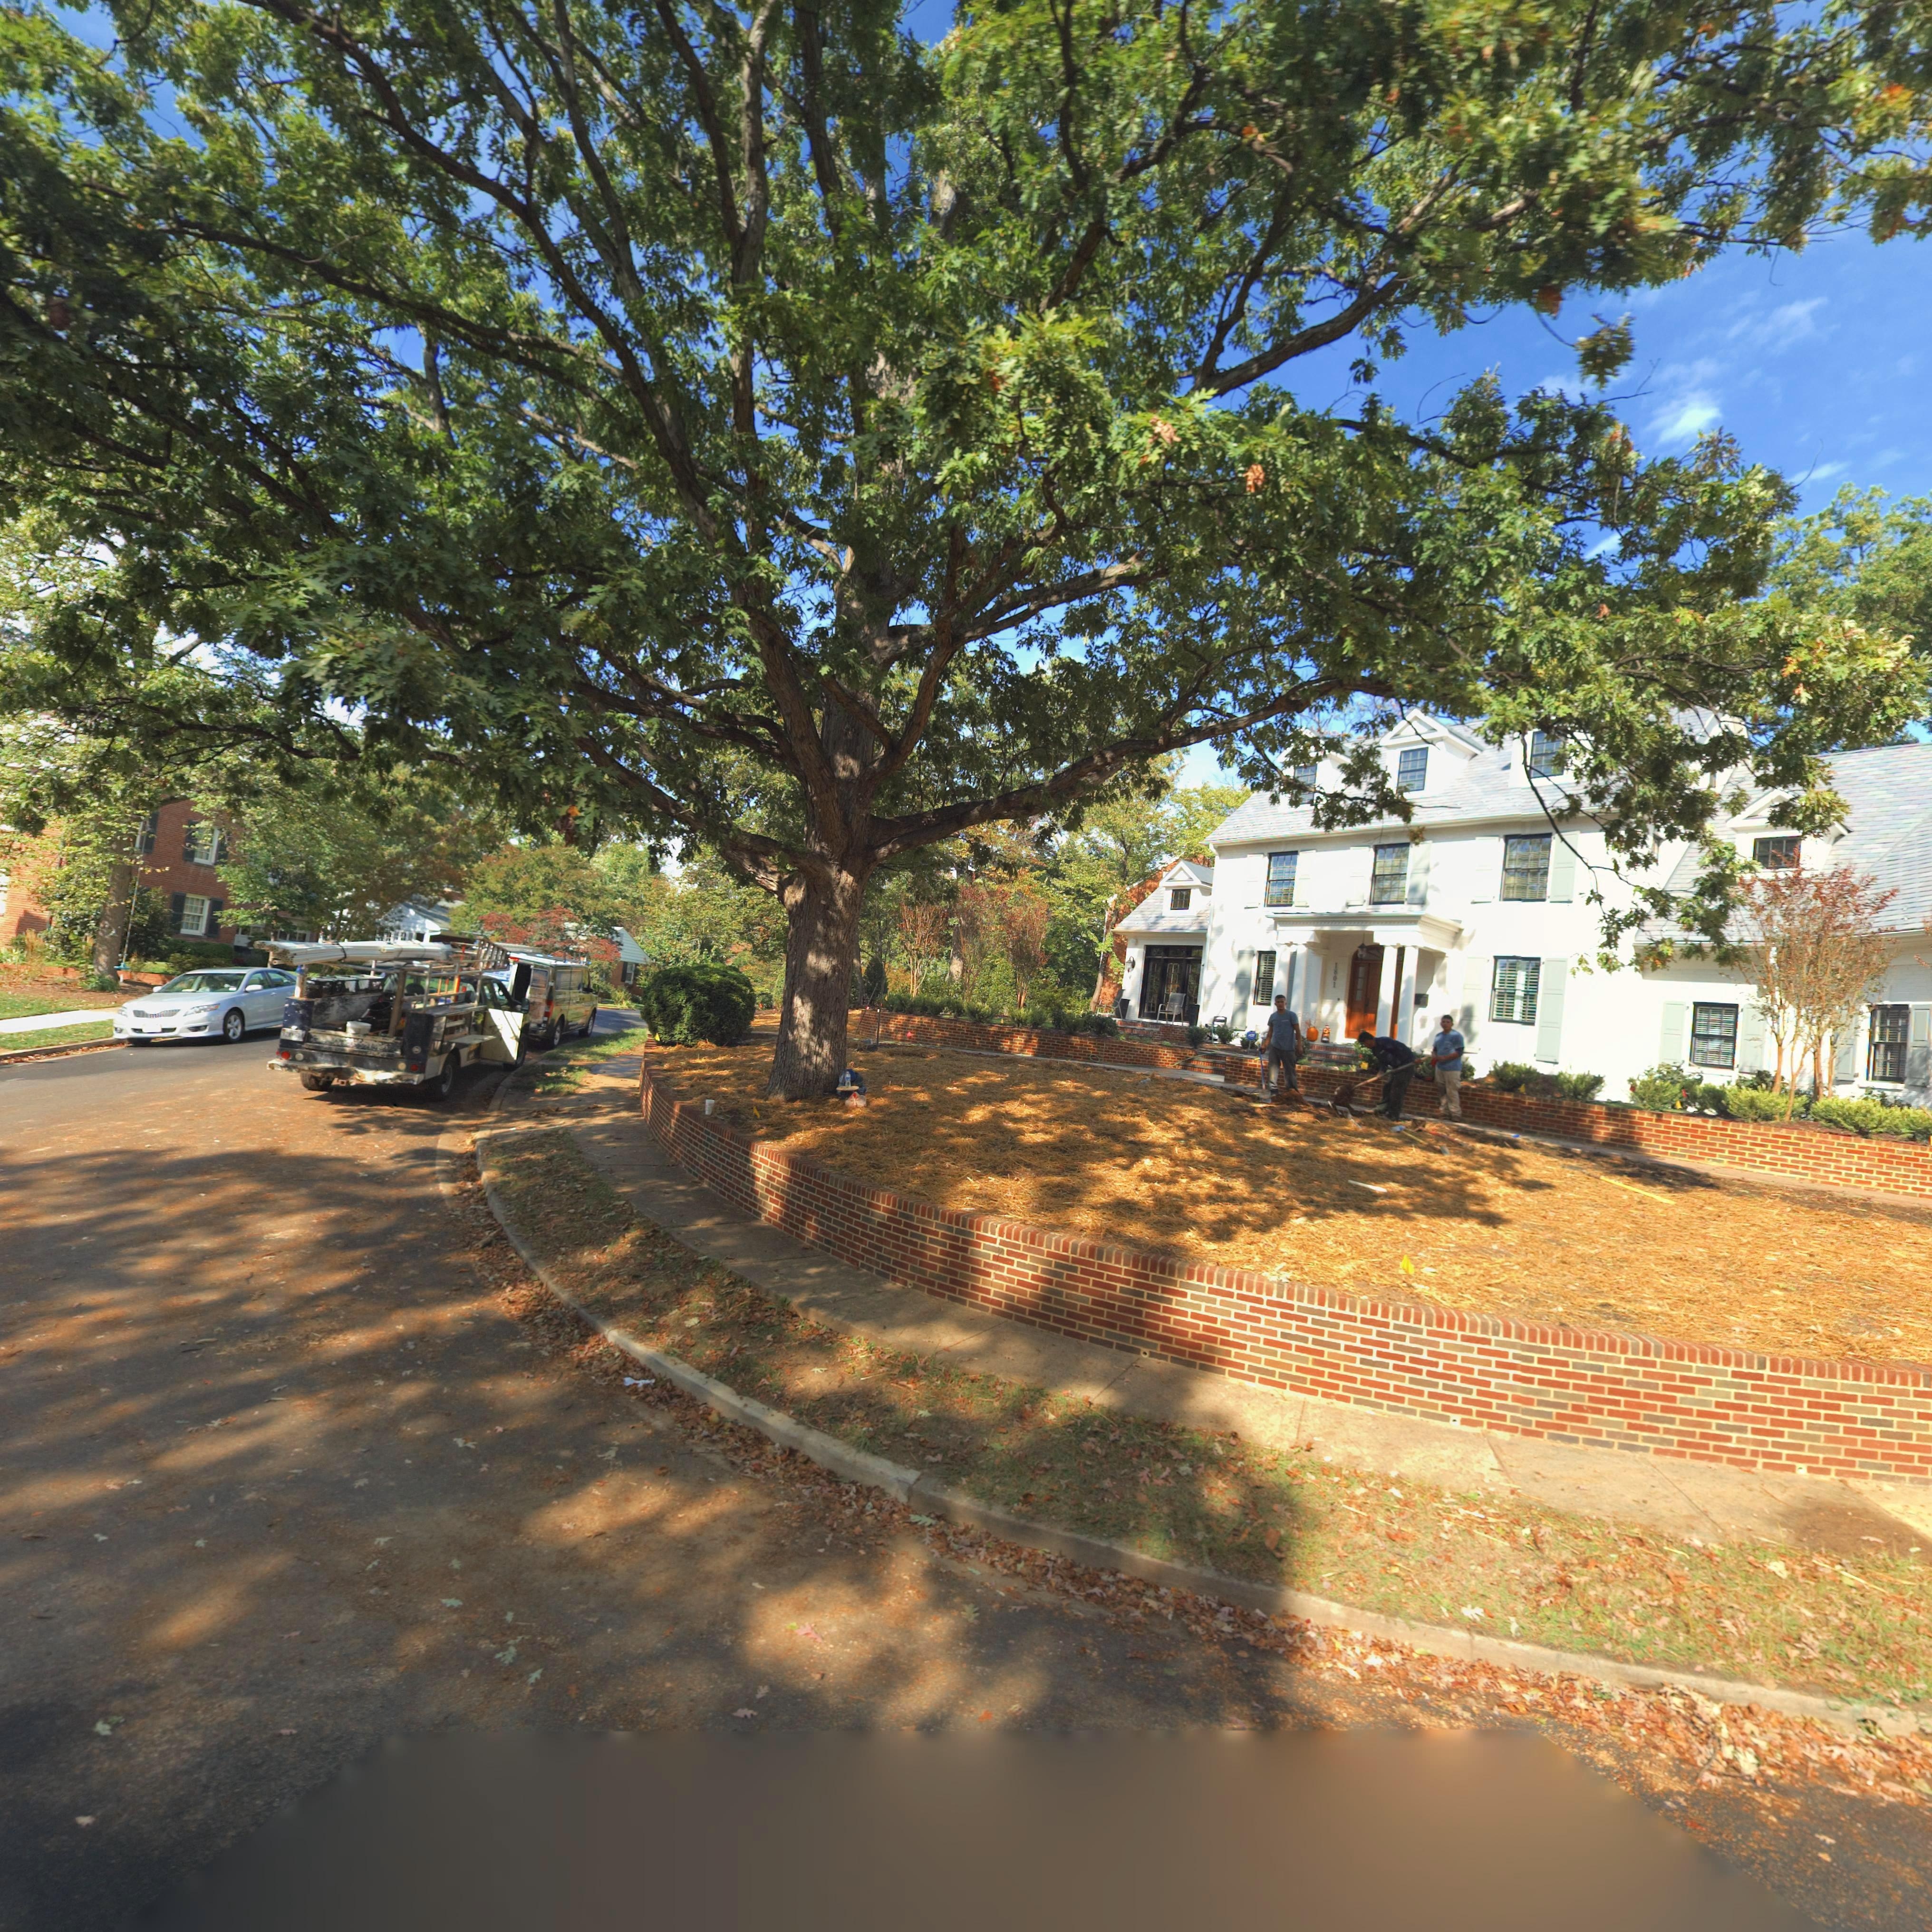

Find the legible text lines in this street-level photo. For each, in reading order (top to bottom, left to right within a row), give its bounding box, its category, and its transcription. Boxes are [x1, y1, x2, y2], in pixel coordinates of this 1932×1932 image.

[1332, 961, 1339, 990] StreetNumber: 1801